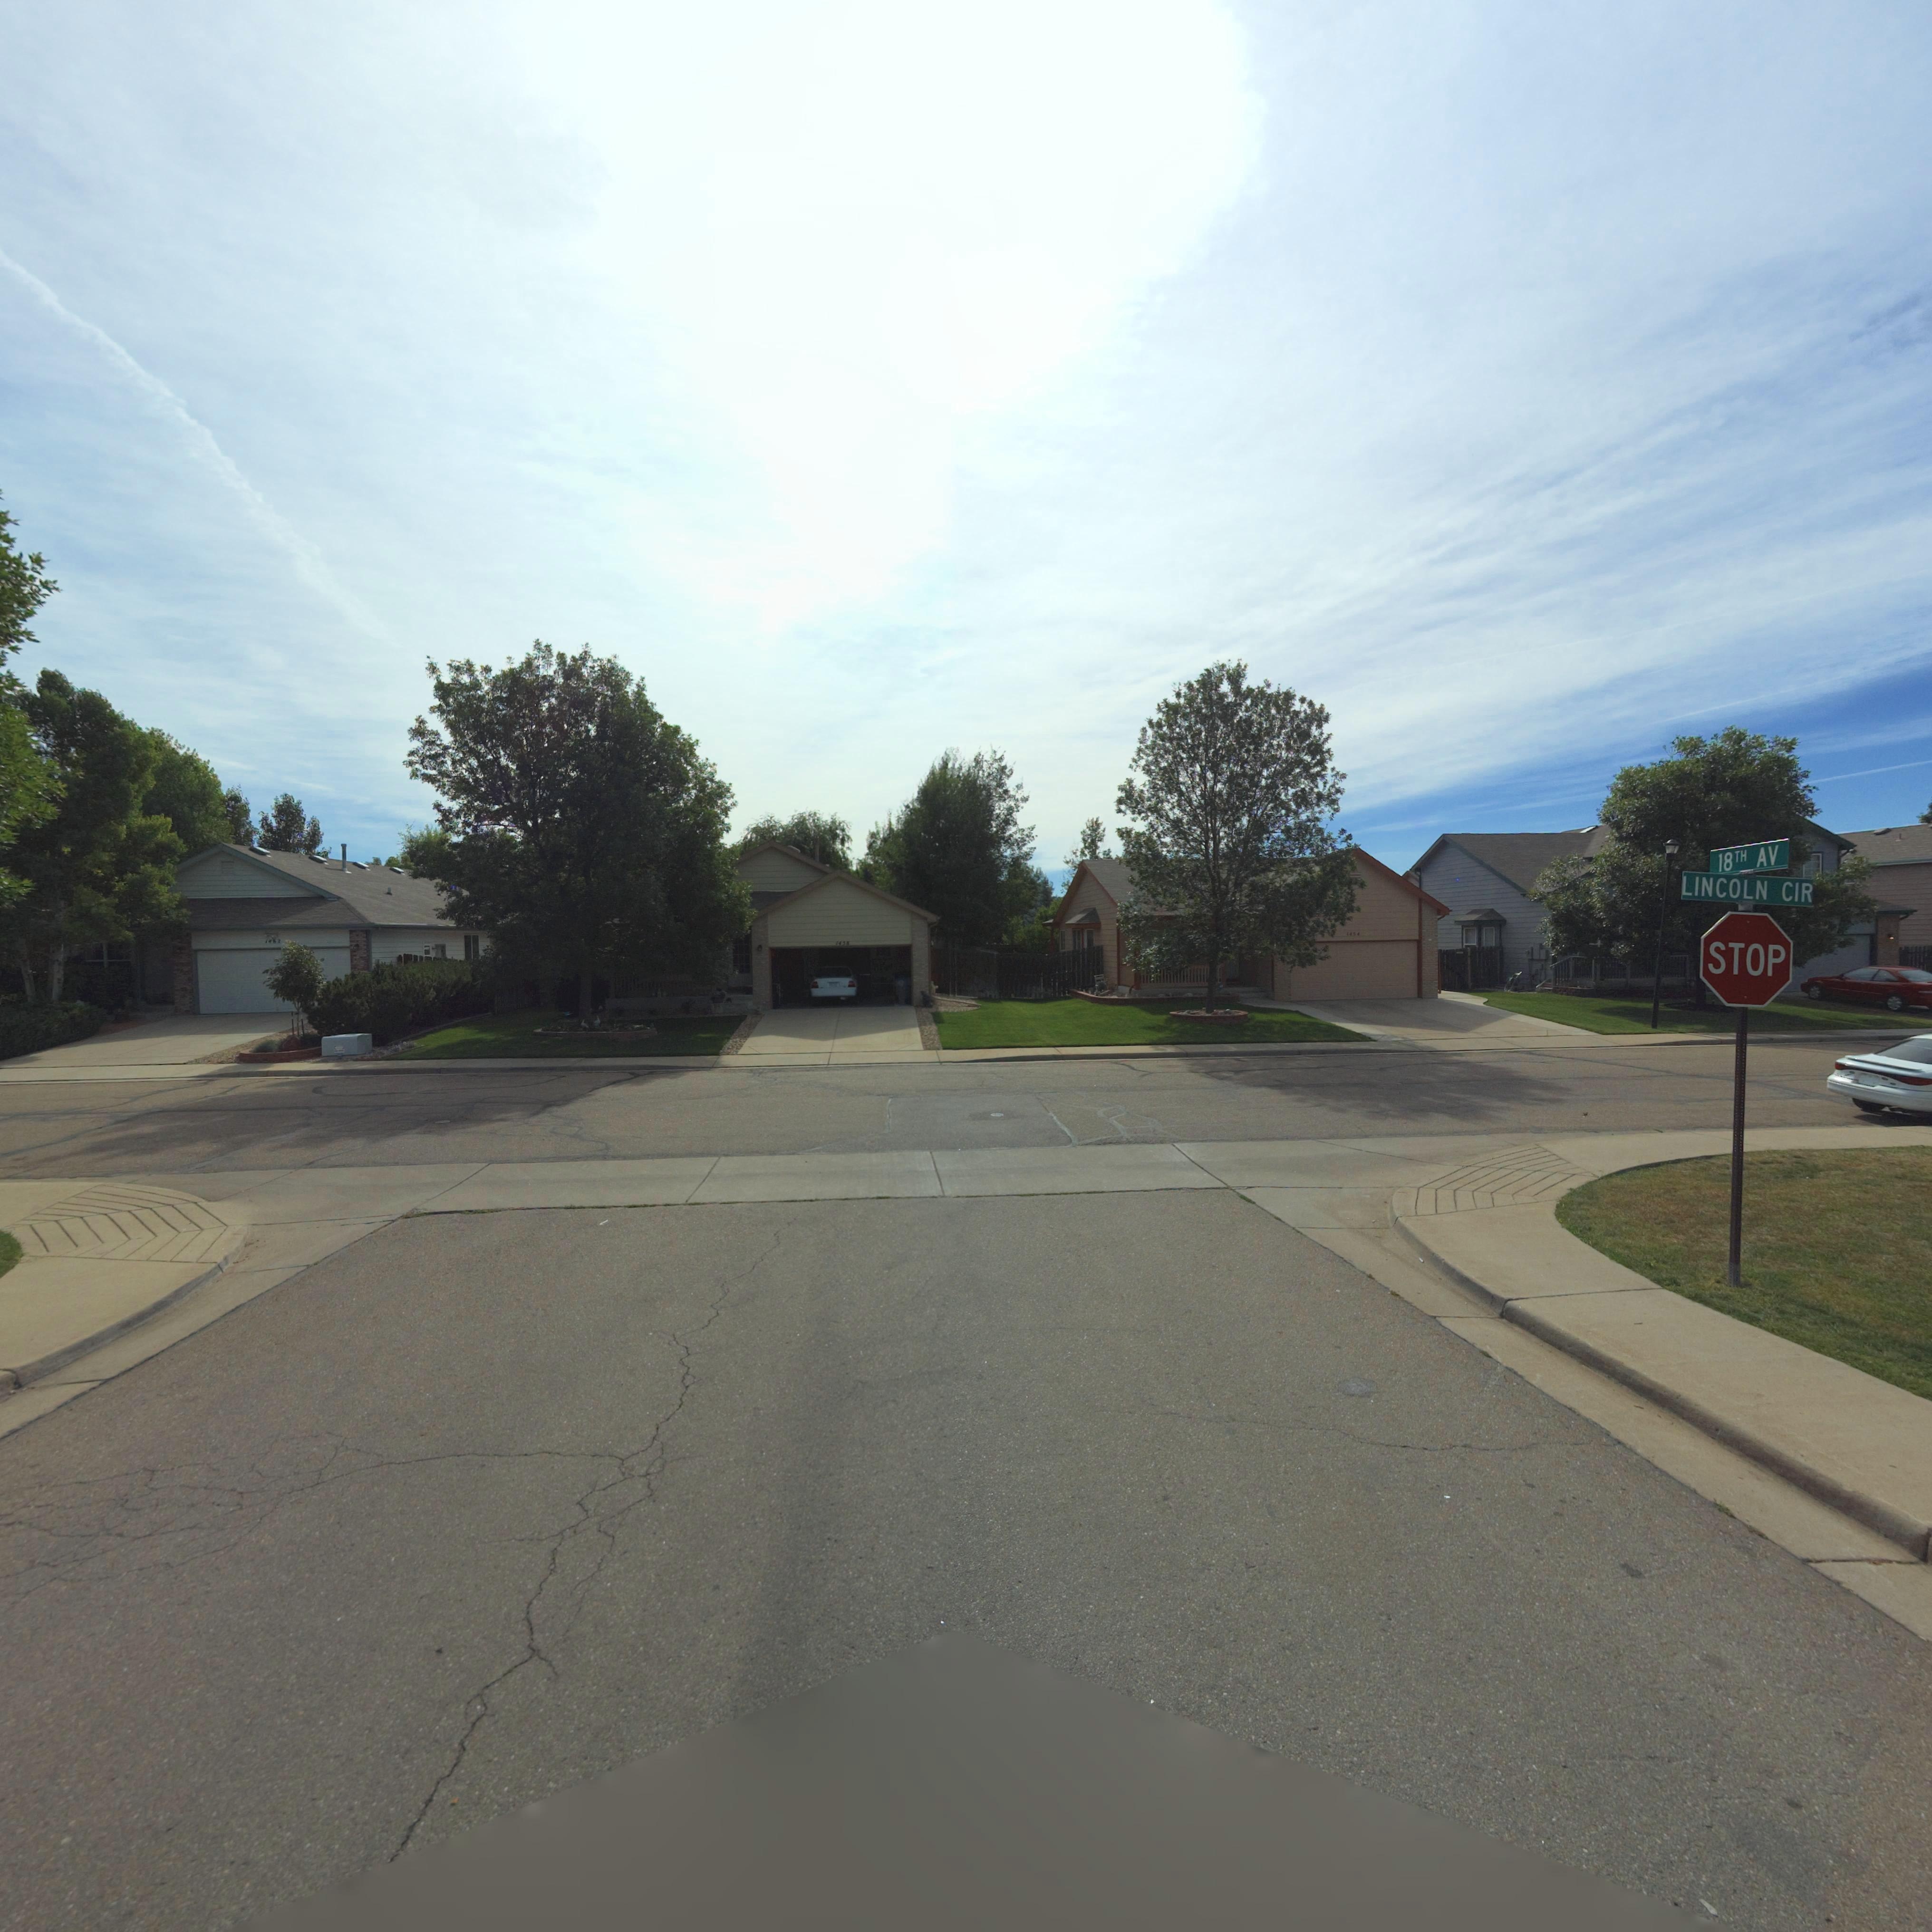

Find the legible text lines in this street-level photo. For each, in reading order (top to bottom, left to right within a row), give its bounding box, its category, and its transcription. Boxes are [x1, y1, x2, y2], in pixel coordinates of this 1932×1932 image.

[1718, 843, 1780, 873] StreetName: 18TH AV
[1681, 875, 1813, 903] StreetName: LINCOLN CIR
[1346, 931, 1360, 936] StreetNumber: 1454
[265, 938, 281, 944] StreetNumber: 14**
[835, 940, 850, 946] StreetNumber: 1458